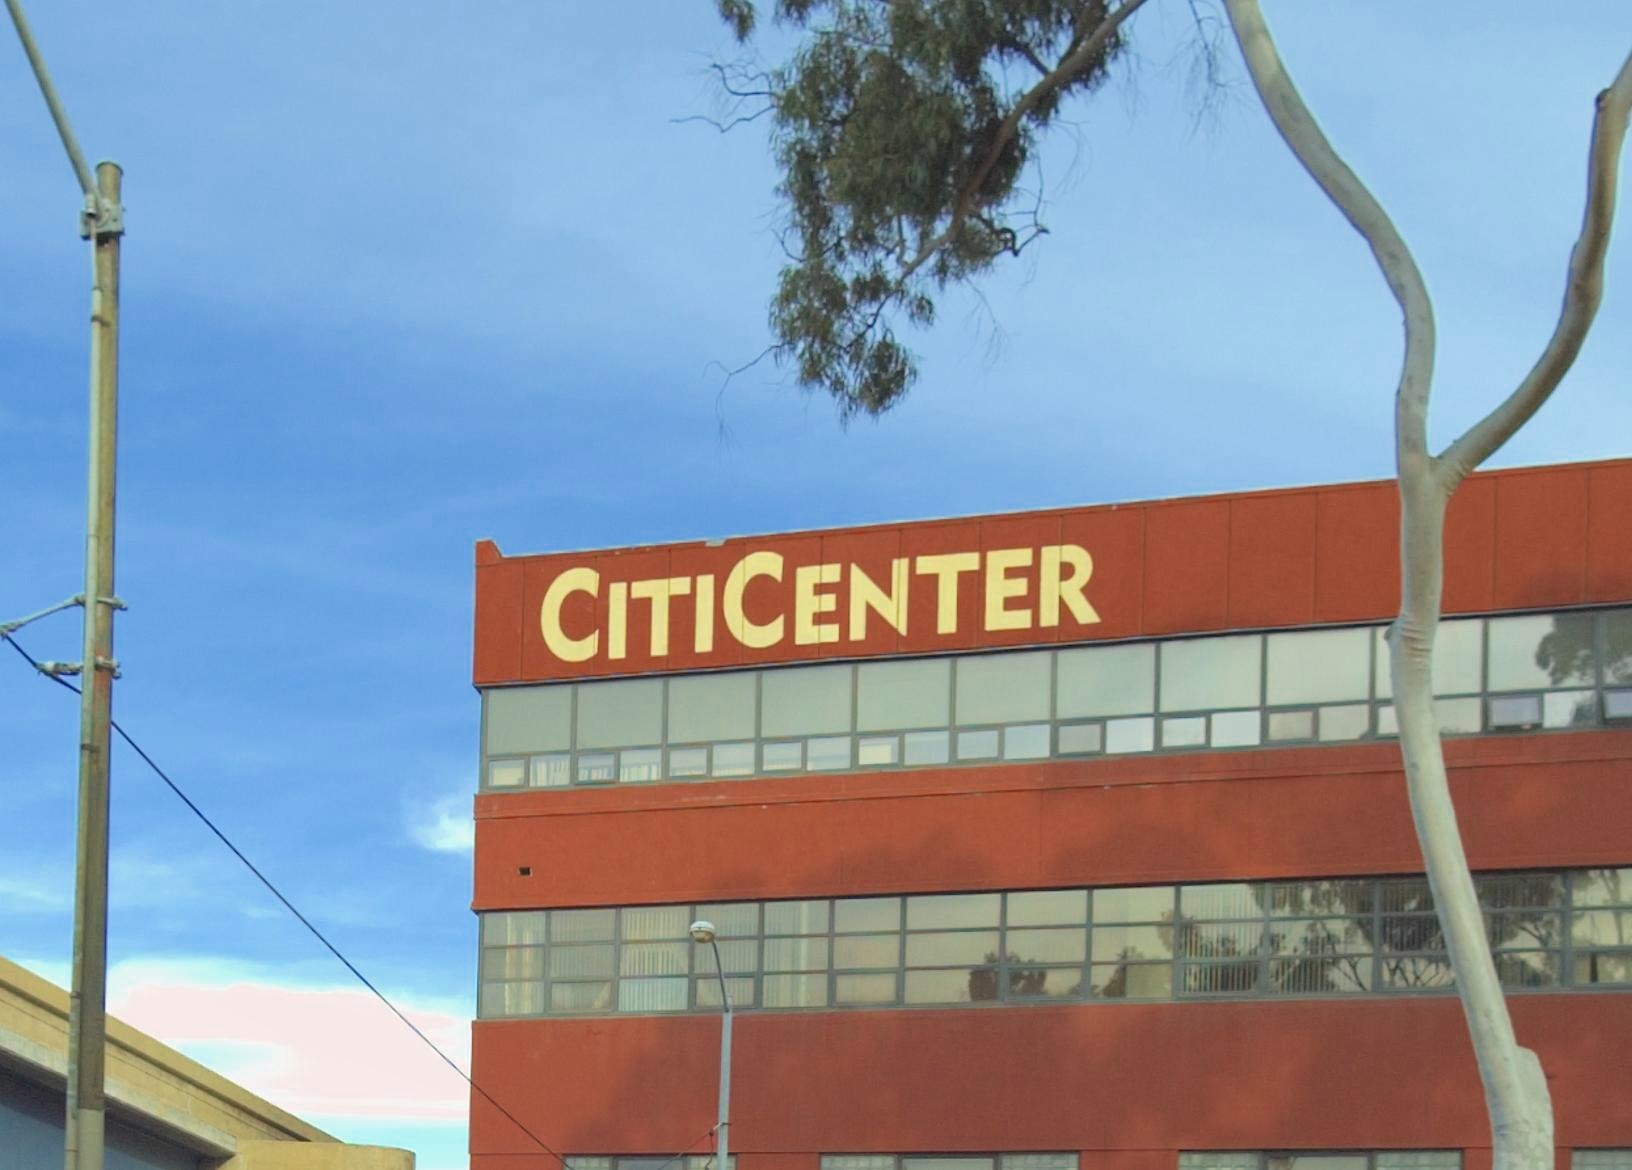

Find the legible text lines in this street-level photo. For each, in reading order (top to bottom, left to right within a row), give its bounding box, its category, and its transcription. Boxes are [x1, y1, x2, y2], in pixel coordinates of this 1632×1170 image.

[535, 523, 1107, 671] BusinessName: CITICENTER